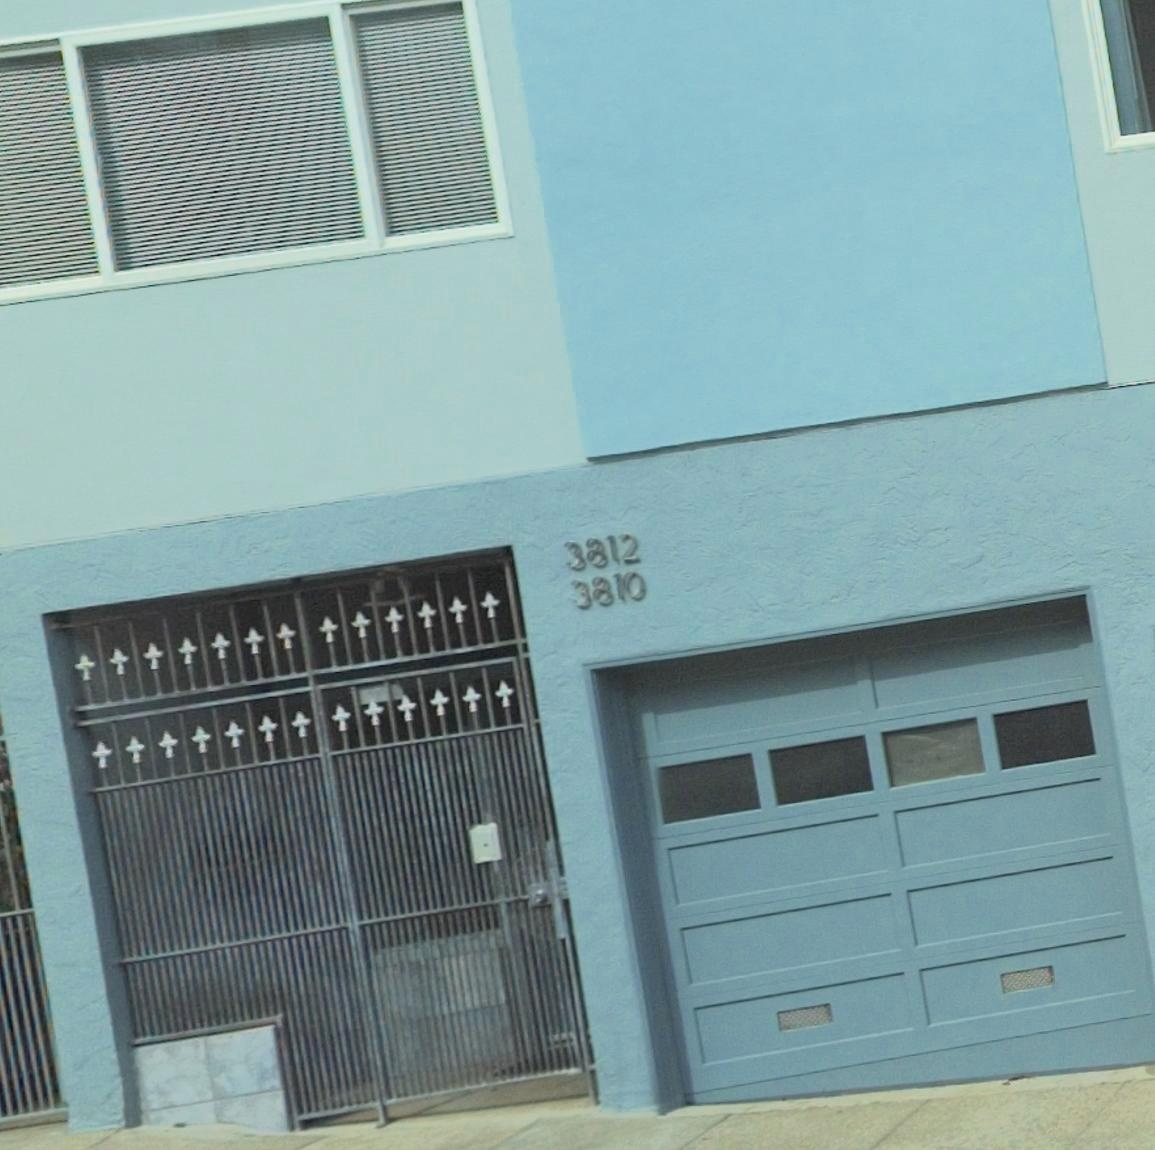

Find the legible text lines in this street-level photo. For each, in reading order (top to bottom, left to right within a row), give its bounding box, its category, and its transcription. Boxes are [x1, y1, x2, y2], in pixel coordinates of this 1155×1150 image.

[560, 531, 644, 574] StreetNumber: 3812
[570, 569, 650, 612] StreetNumber: 3810